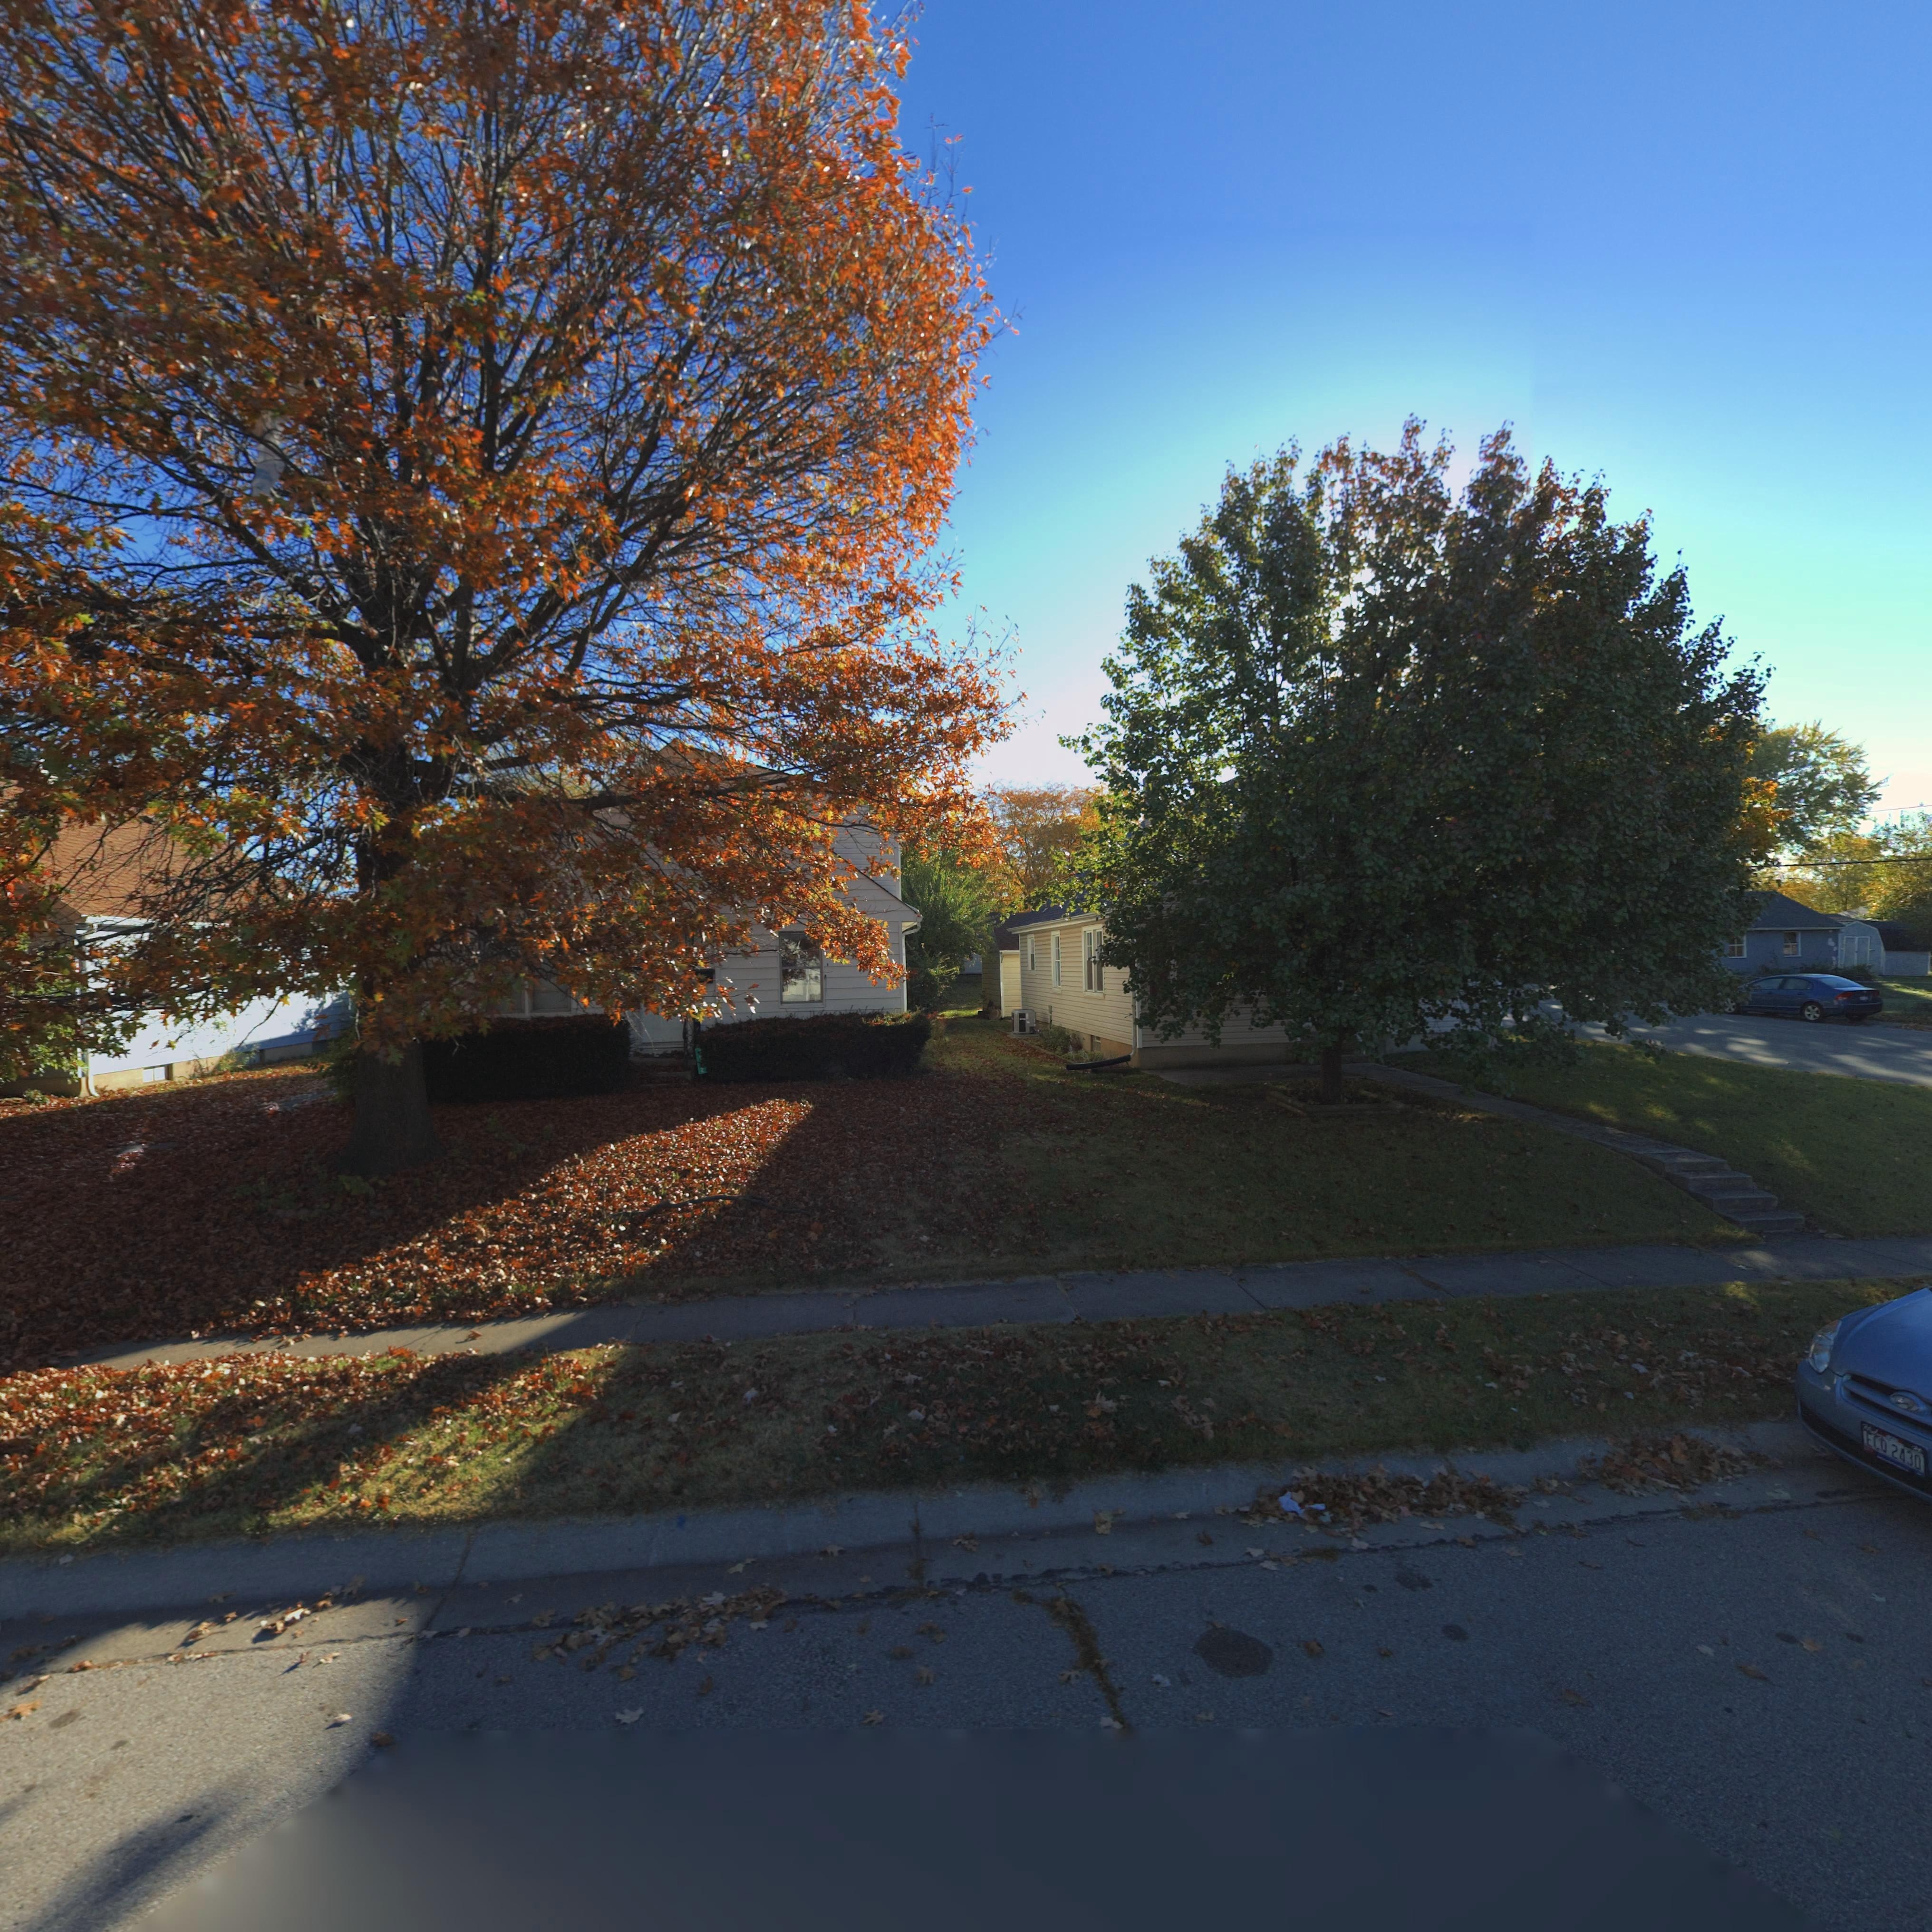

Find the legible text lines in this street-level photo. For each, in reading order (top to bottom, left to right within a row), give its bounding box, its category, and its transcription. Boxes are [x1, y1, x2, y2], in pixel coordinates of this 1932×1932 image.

[699, 1067, 705, 1073] StreetNumber: 2